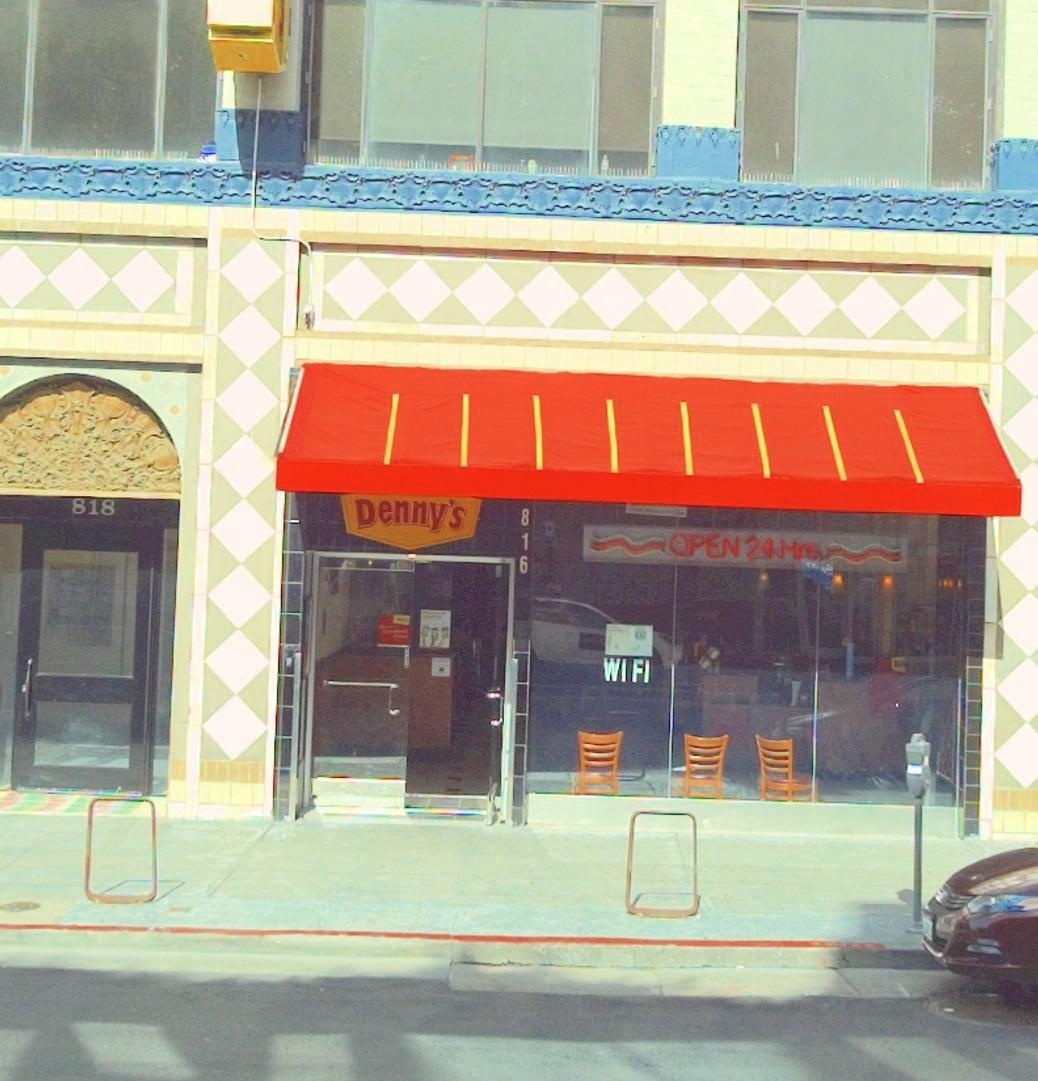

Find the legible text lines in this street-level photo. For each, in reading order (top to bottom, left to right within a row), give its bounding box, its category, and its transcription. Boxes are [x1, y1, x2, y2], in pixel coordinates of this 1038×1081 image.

[66, 495, 119, 520] StreetNumber: 818
[349, 495, 477, 538] BusinessName: Denny's
[516, 505, 532, 577] StreetNumber: 816
[666, 528, 823, 566] None: OPEN 24 Hrs
[598, 652, 654, 690] None: WIFI